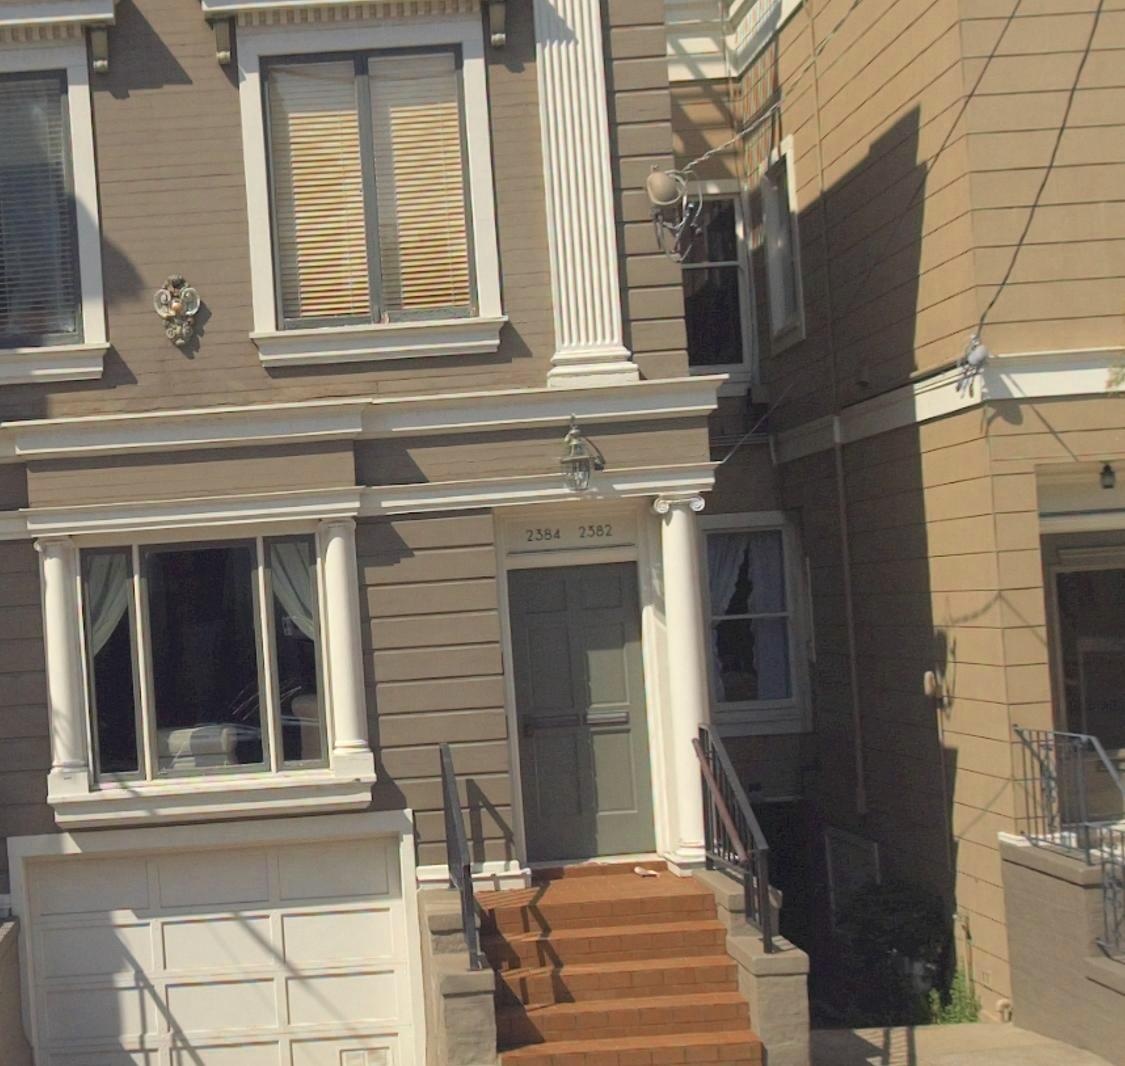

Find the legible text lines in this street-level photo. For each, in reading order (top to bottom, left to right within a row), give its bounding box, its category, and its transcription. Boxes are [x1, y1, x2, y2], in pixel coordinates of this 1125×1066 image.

[524, 528, 562, 542] StreetNumber: 2384
[578, 523, 613, 539] StreetNumber: 2382